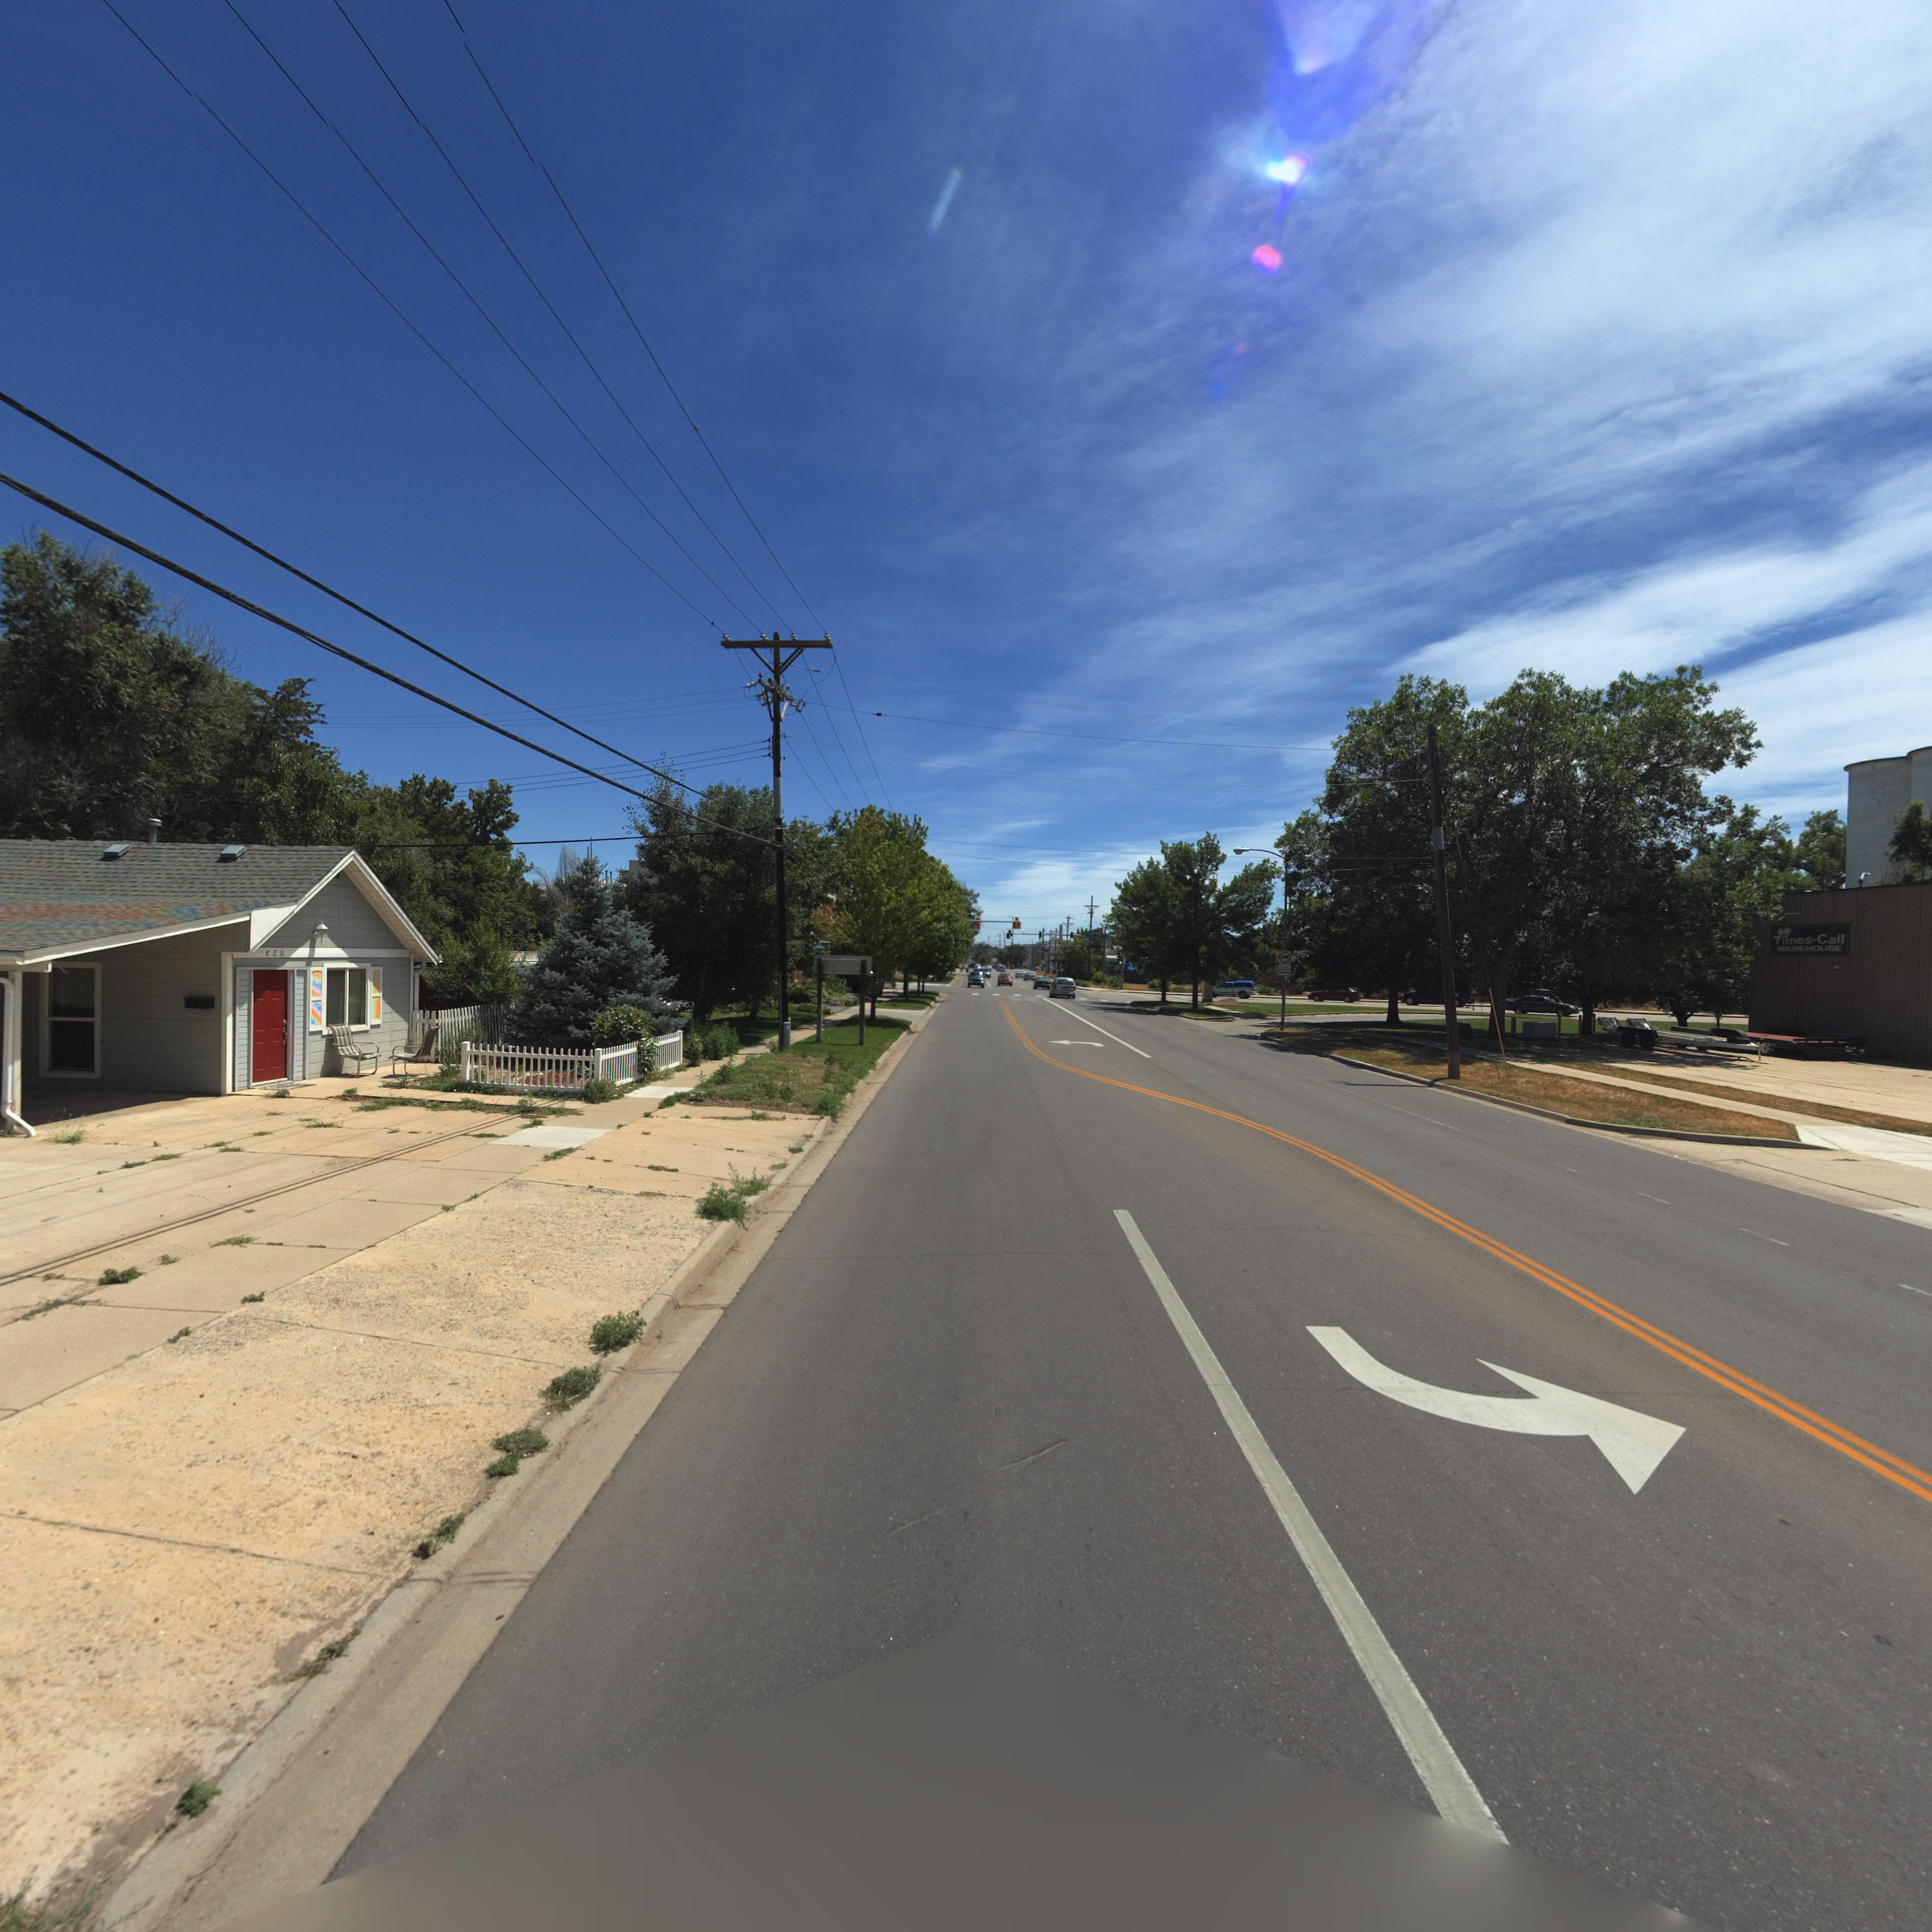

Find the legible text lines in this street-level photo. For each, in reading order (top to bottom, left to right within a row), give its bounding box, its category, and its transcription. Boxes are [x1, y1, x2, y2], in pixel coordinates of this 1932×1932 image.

[1773, 932, 1846, 945] BusinessName: Times-Call
[265, 949, 285, 957] StreetNumber: 820